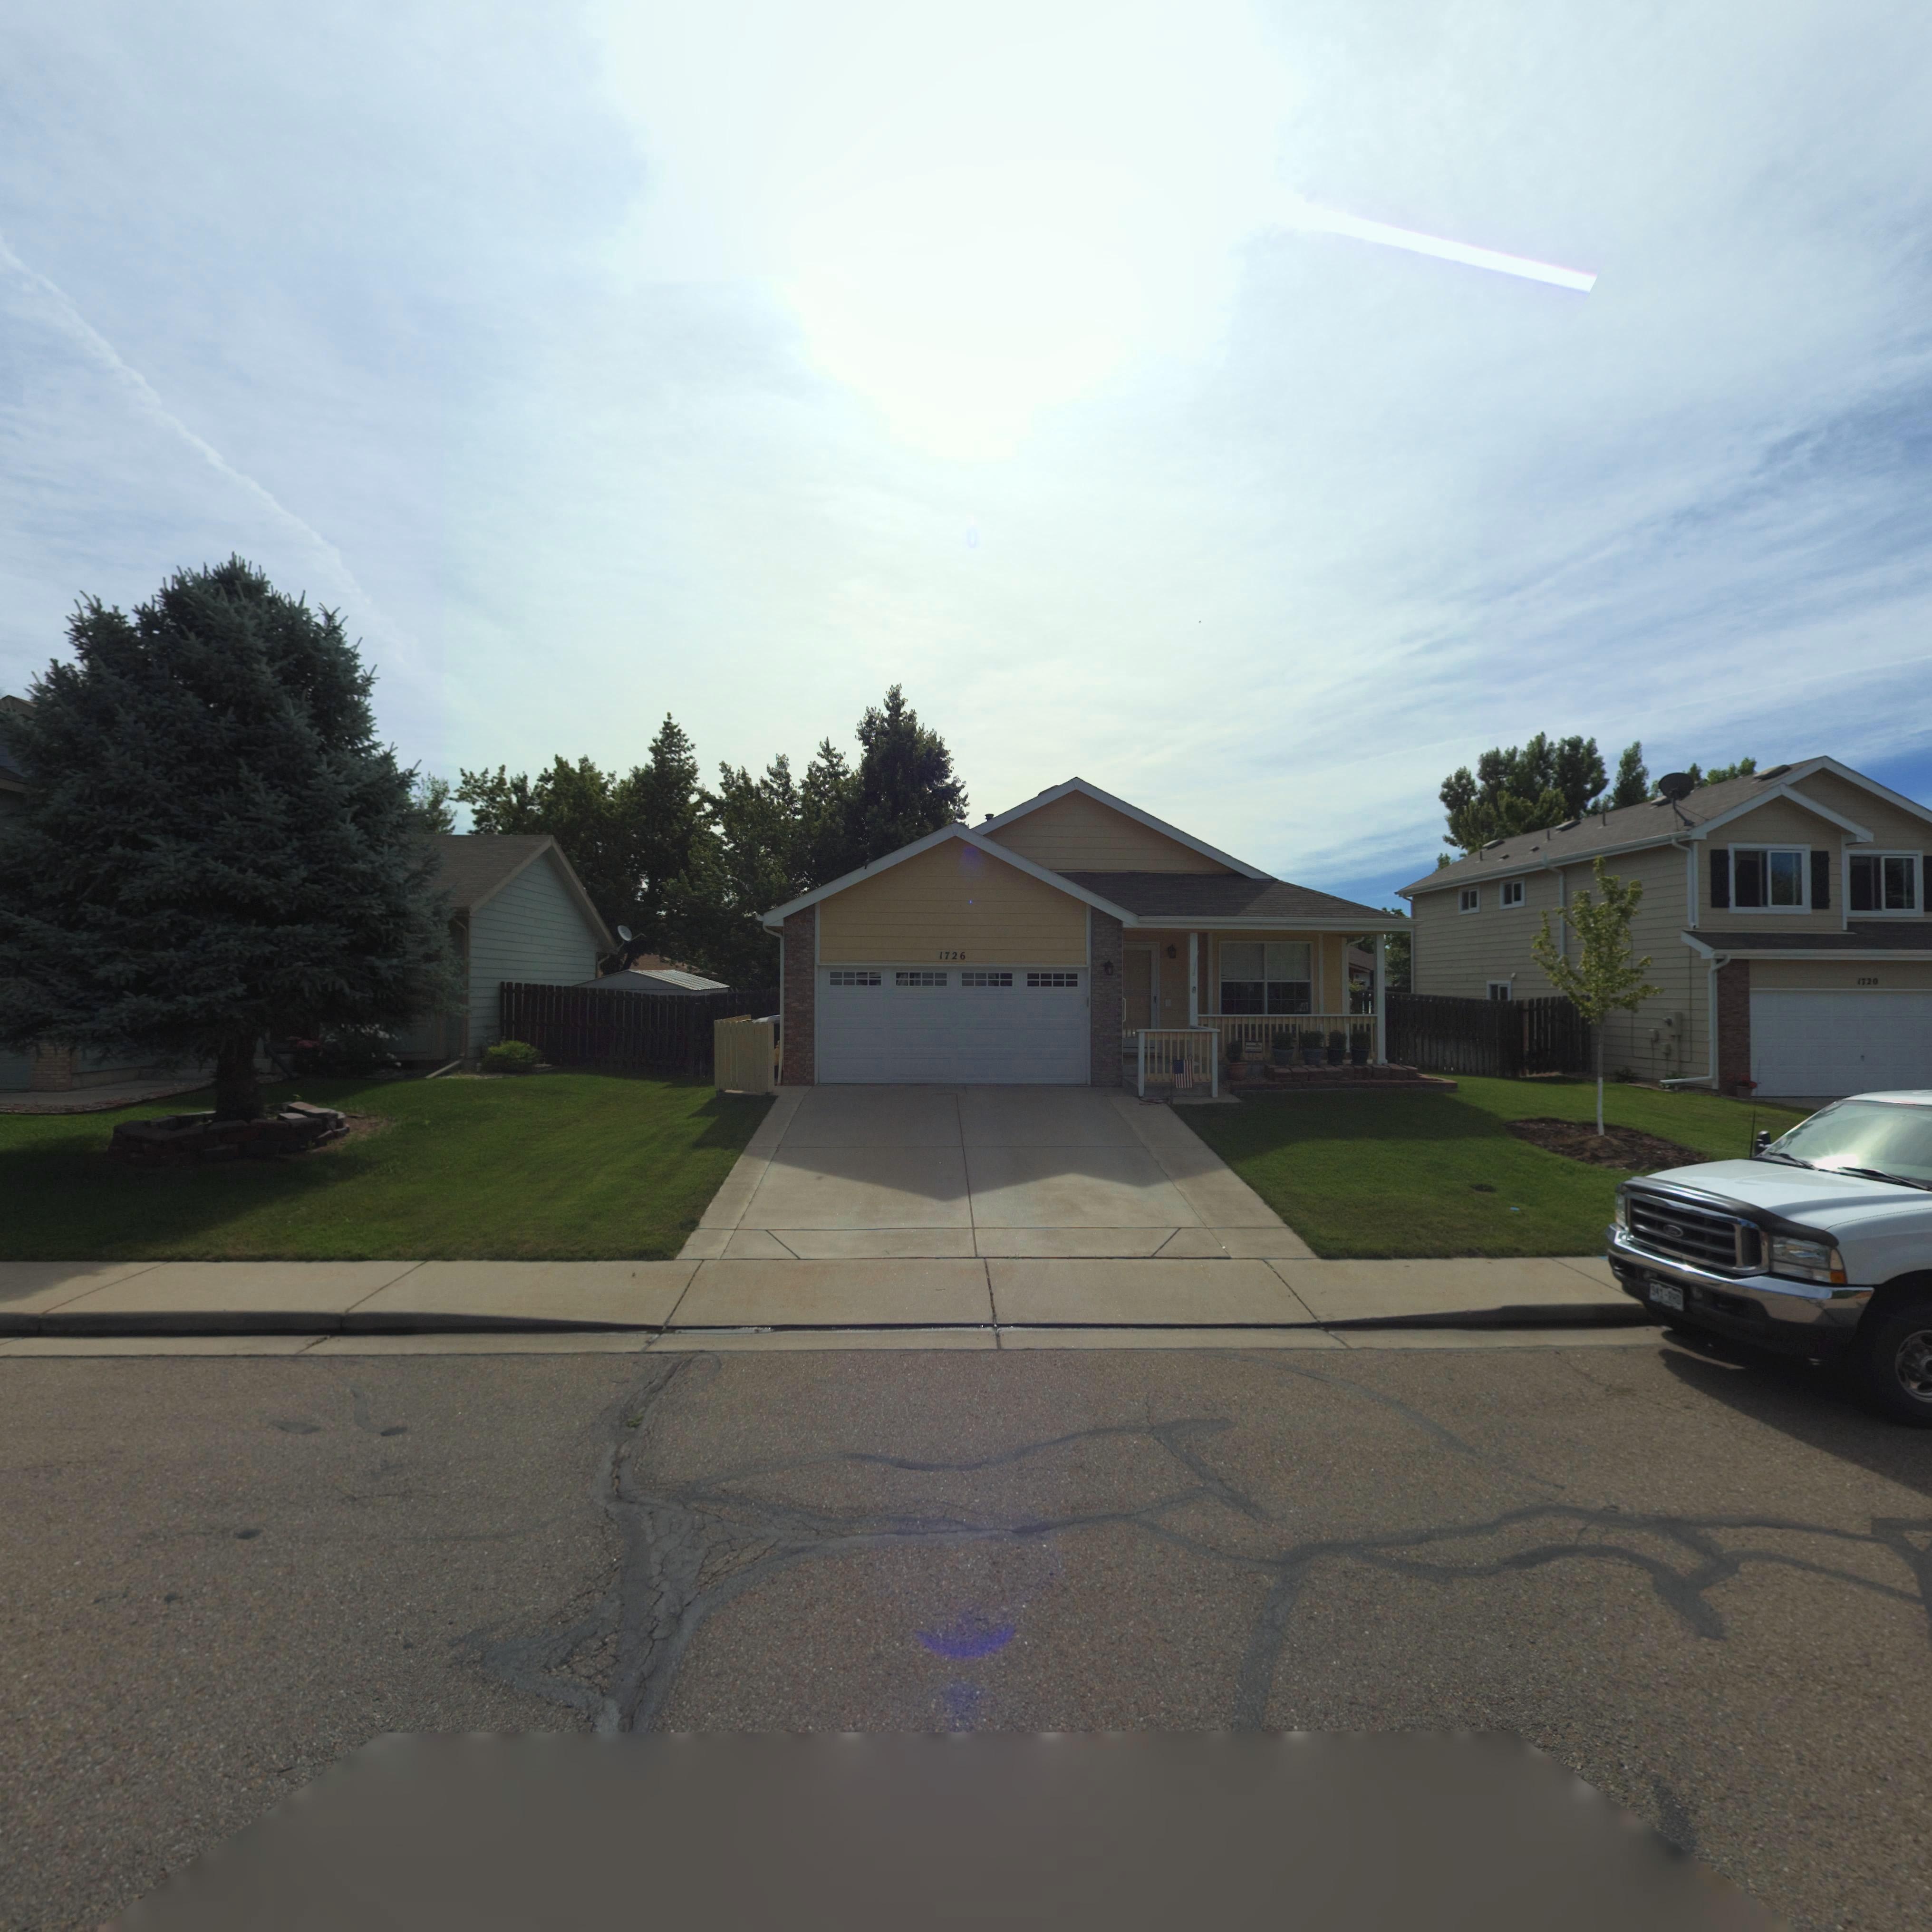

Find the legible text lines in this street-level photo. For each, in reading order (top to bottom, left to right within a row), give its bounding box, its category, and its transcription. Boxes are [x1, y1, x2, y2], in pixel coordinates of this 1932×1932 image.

[939, 951, 966, 960] StreetNumber: 1726
[1857, 977, 1879, 985] StreetNumber: 1720